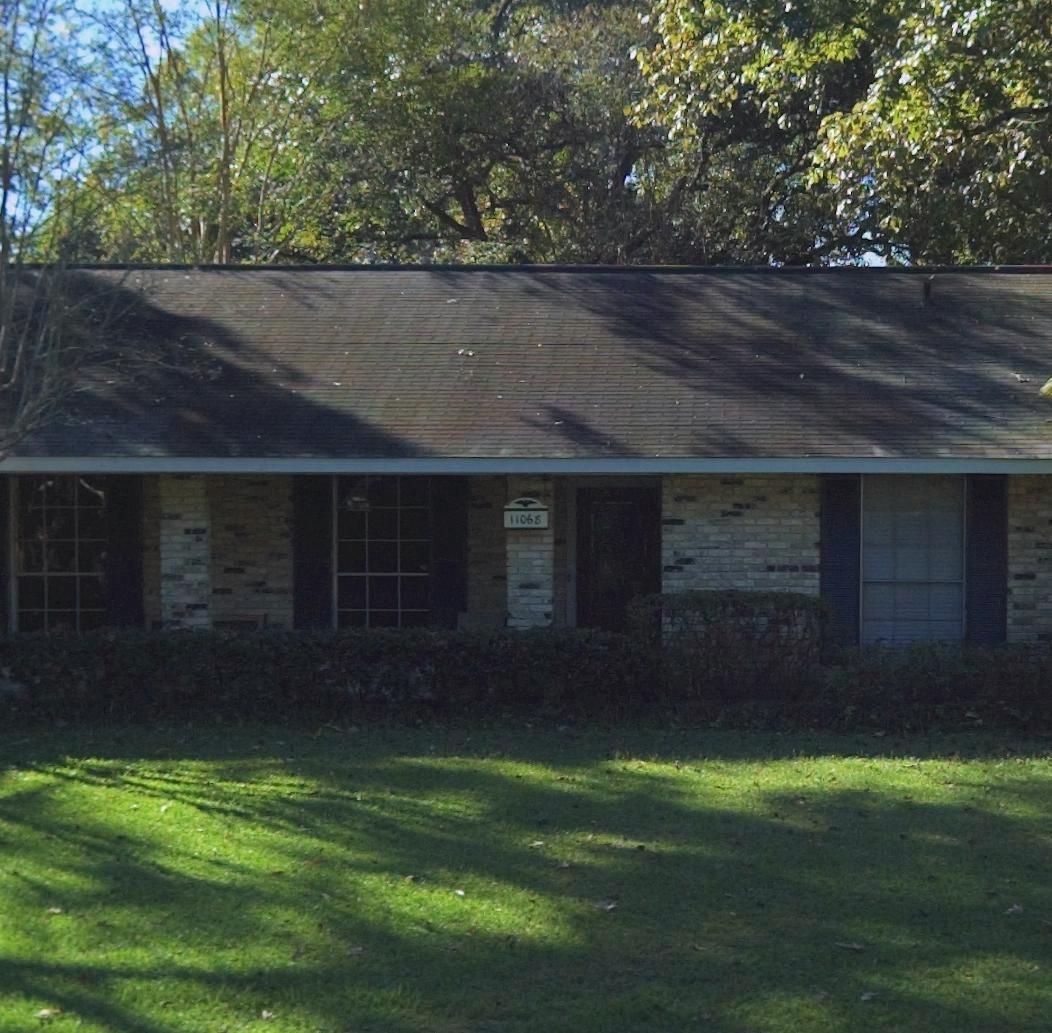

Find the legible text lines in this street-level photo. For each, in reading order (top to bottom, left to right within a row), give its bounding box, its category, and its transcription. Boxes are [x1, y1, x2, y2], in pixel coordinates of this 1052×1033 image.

[508, 511, 543, 528] StreetNumber: 11068